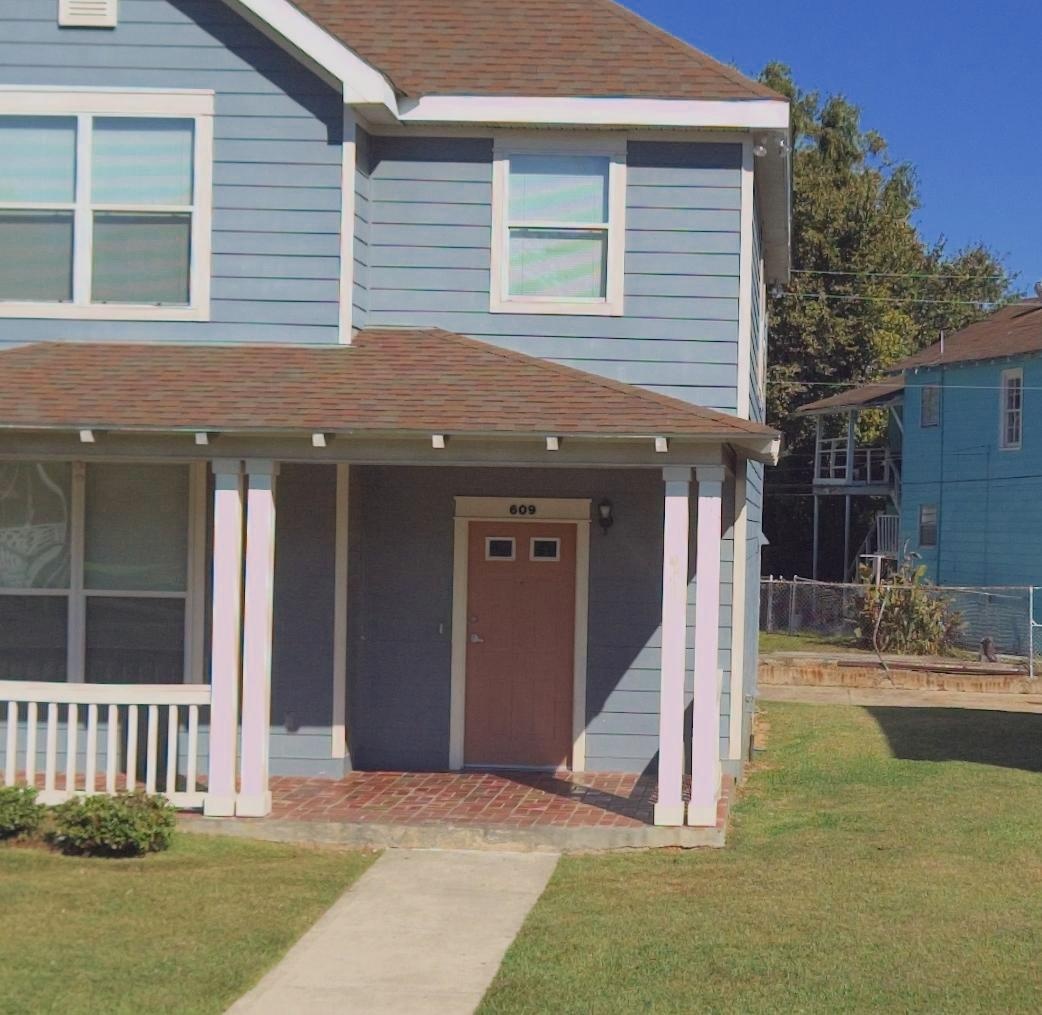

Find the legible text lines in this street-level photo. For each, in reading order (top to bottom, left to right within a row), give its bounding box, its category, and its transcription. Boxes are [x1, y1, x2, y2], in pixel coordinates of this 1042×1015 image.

[507, 503, 538, 516] StreetNumber: 609